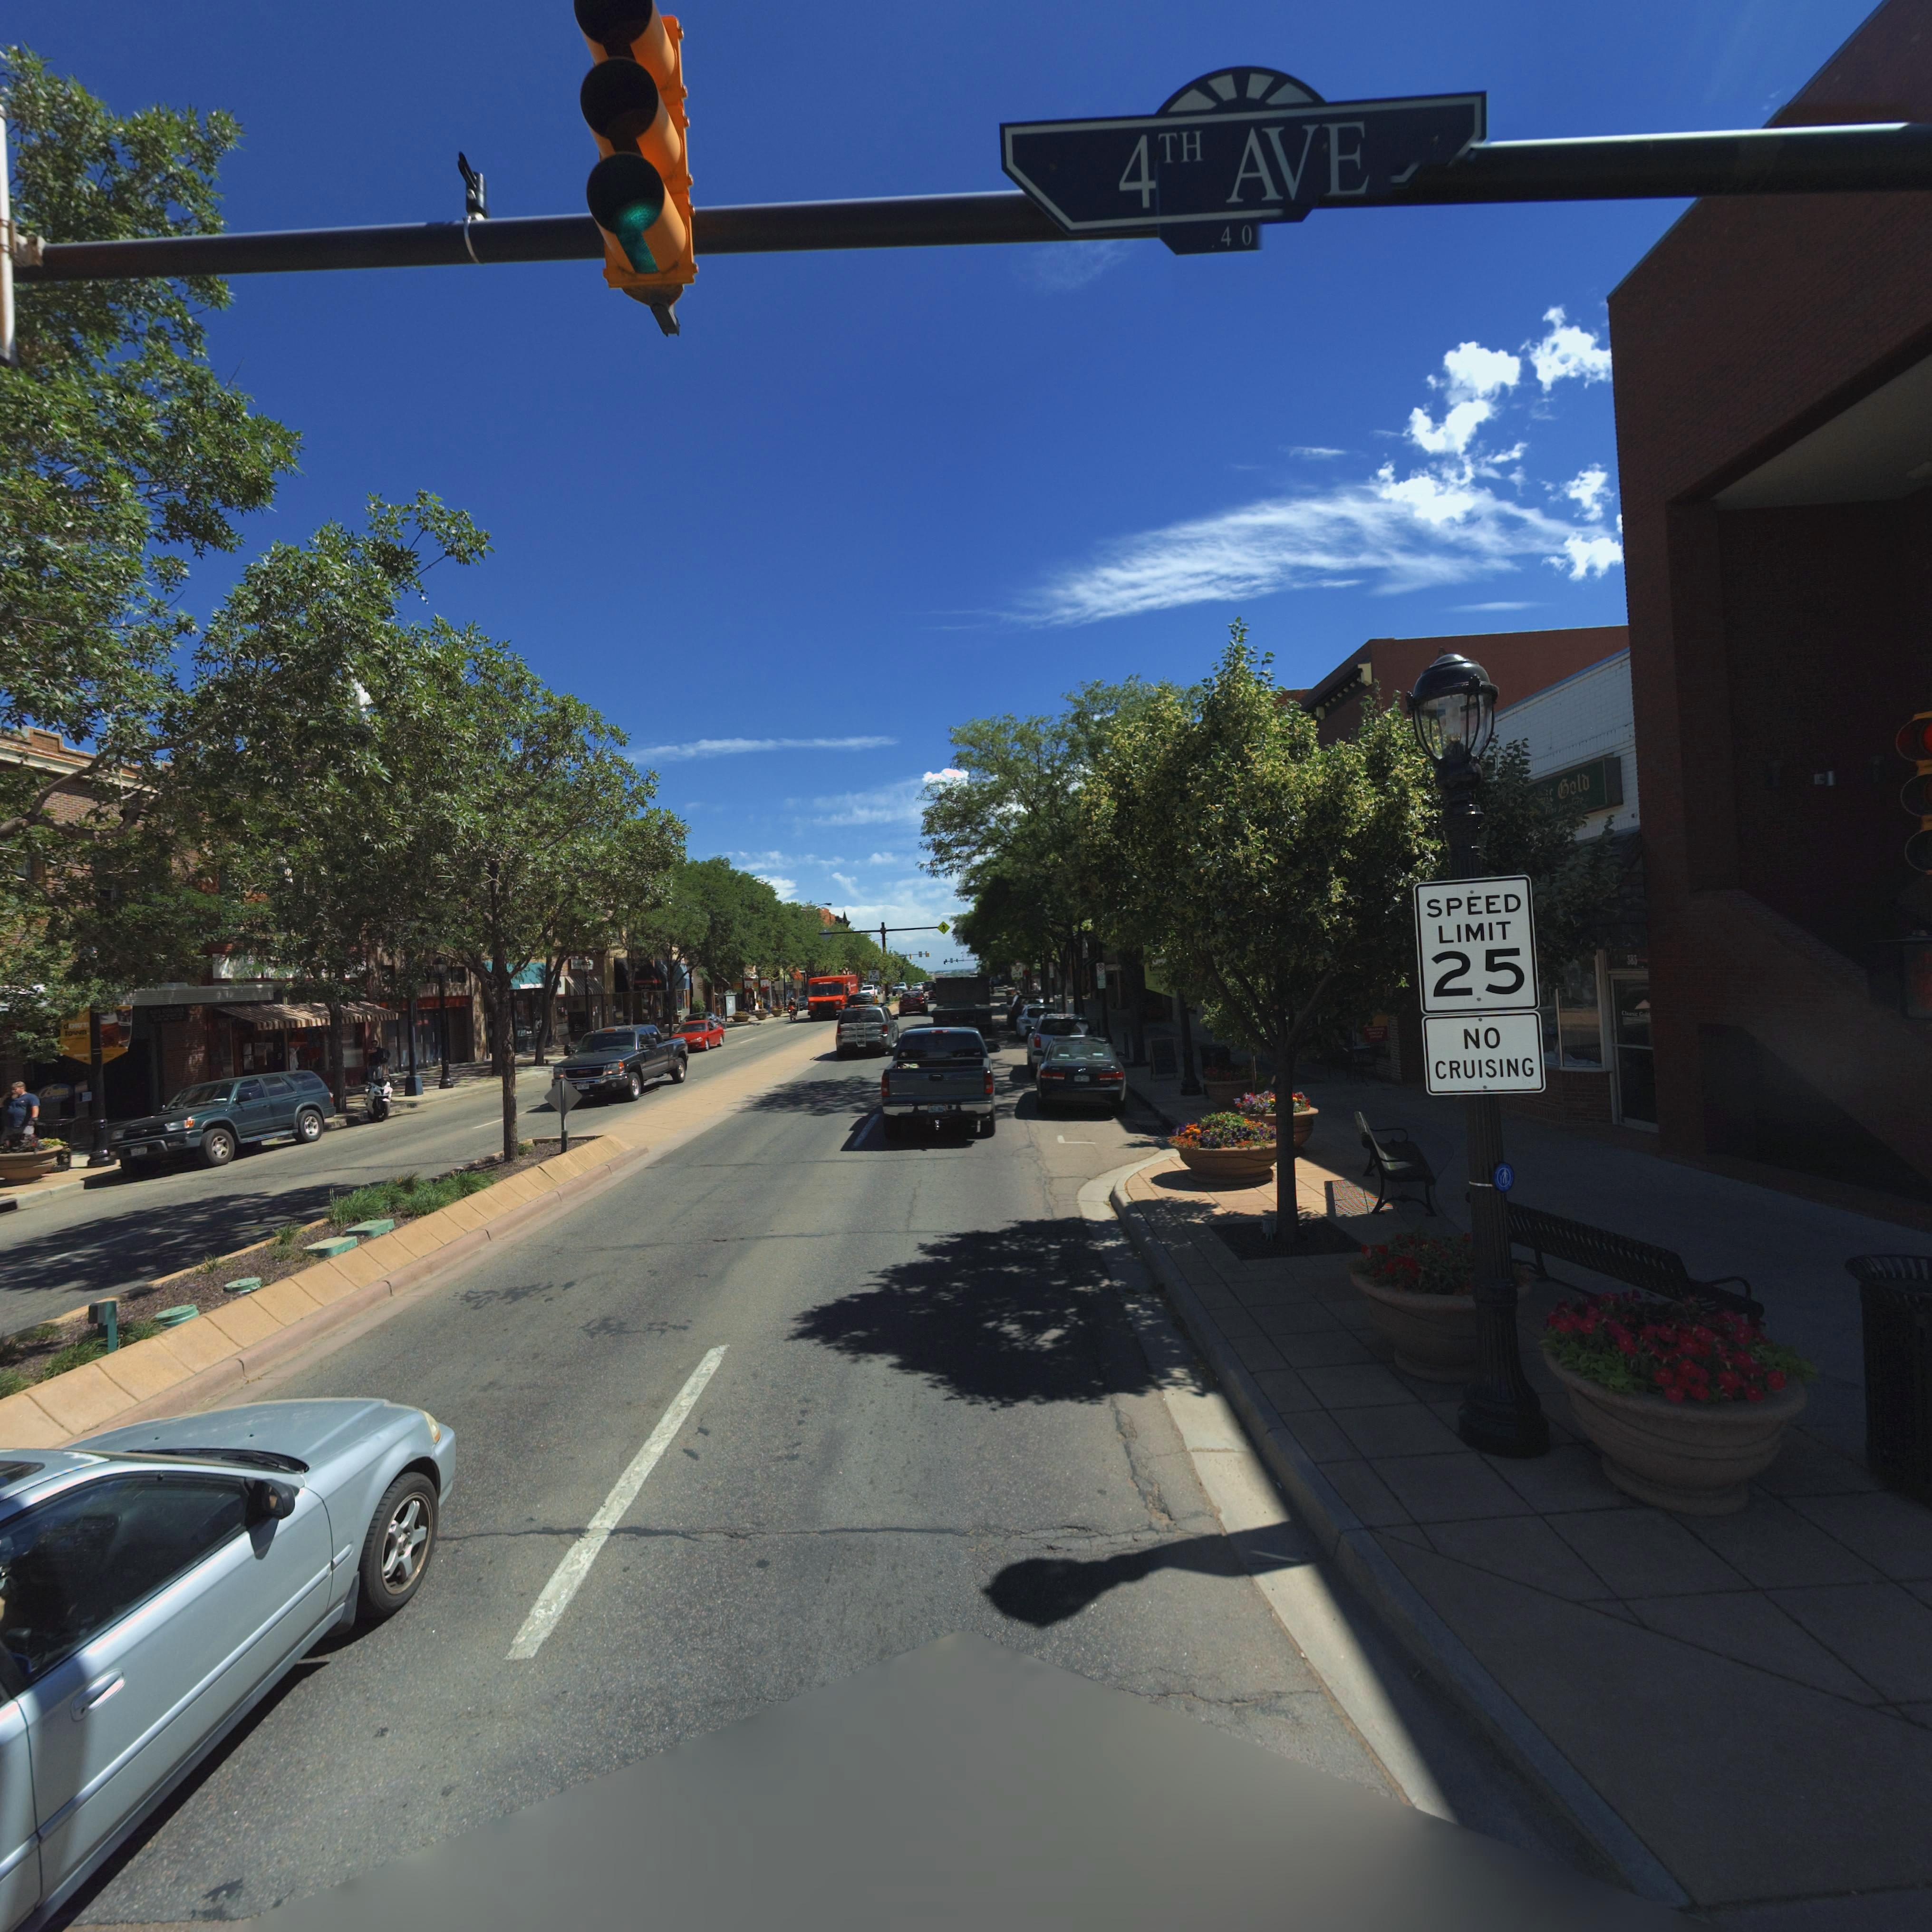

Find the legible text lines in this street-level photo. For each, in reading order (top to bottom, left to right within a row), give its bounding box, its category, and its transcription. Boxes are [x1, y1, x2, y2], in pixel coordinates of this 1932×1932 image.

[1118, 119, 1370, 209] StreetName: 4TH AVE
[1218, 223, 1254, 248] StreetNumberRange: 40
[1556, 773, 1590, 800] BusinessName: Gold
[1626, 954, 1638, 965] StreetNumber: 383
[1622, 1010, 1651, 1017] BusinessName: Classic Gold
[44, 1086, 68, 1097] BusinessName: Breakers